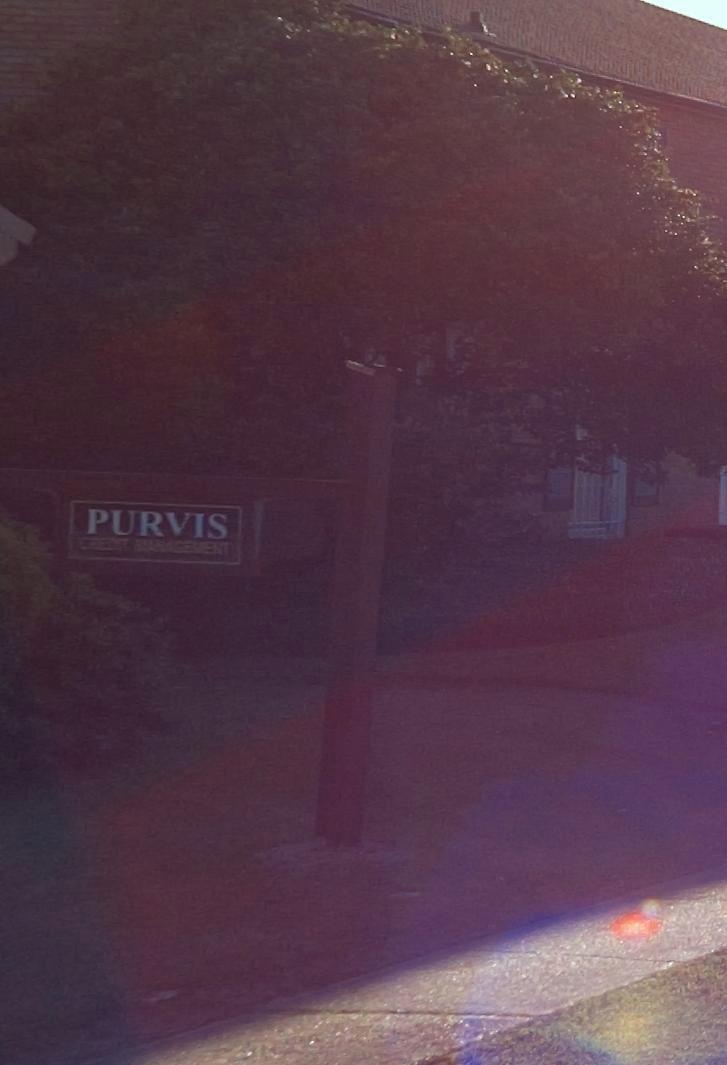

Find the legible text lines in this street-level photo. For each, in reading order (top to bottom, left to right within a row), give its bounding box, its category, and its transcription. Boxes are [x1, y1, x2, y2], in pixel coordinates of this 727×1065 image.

[83, 507, 229, 541] BusinessName: PURVIS
[78, 535, 232, 557] BusinessName: CREDIT MANAGEMENT